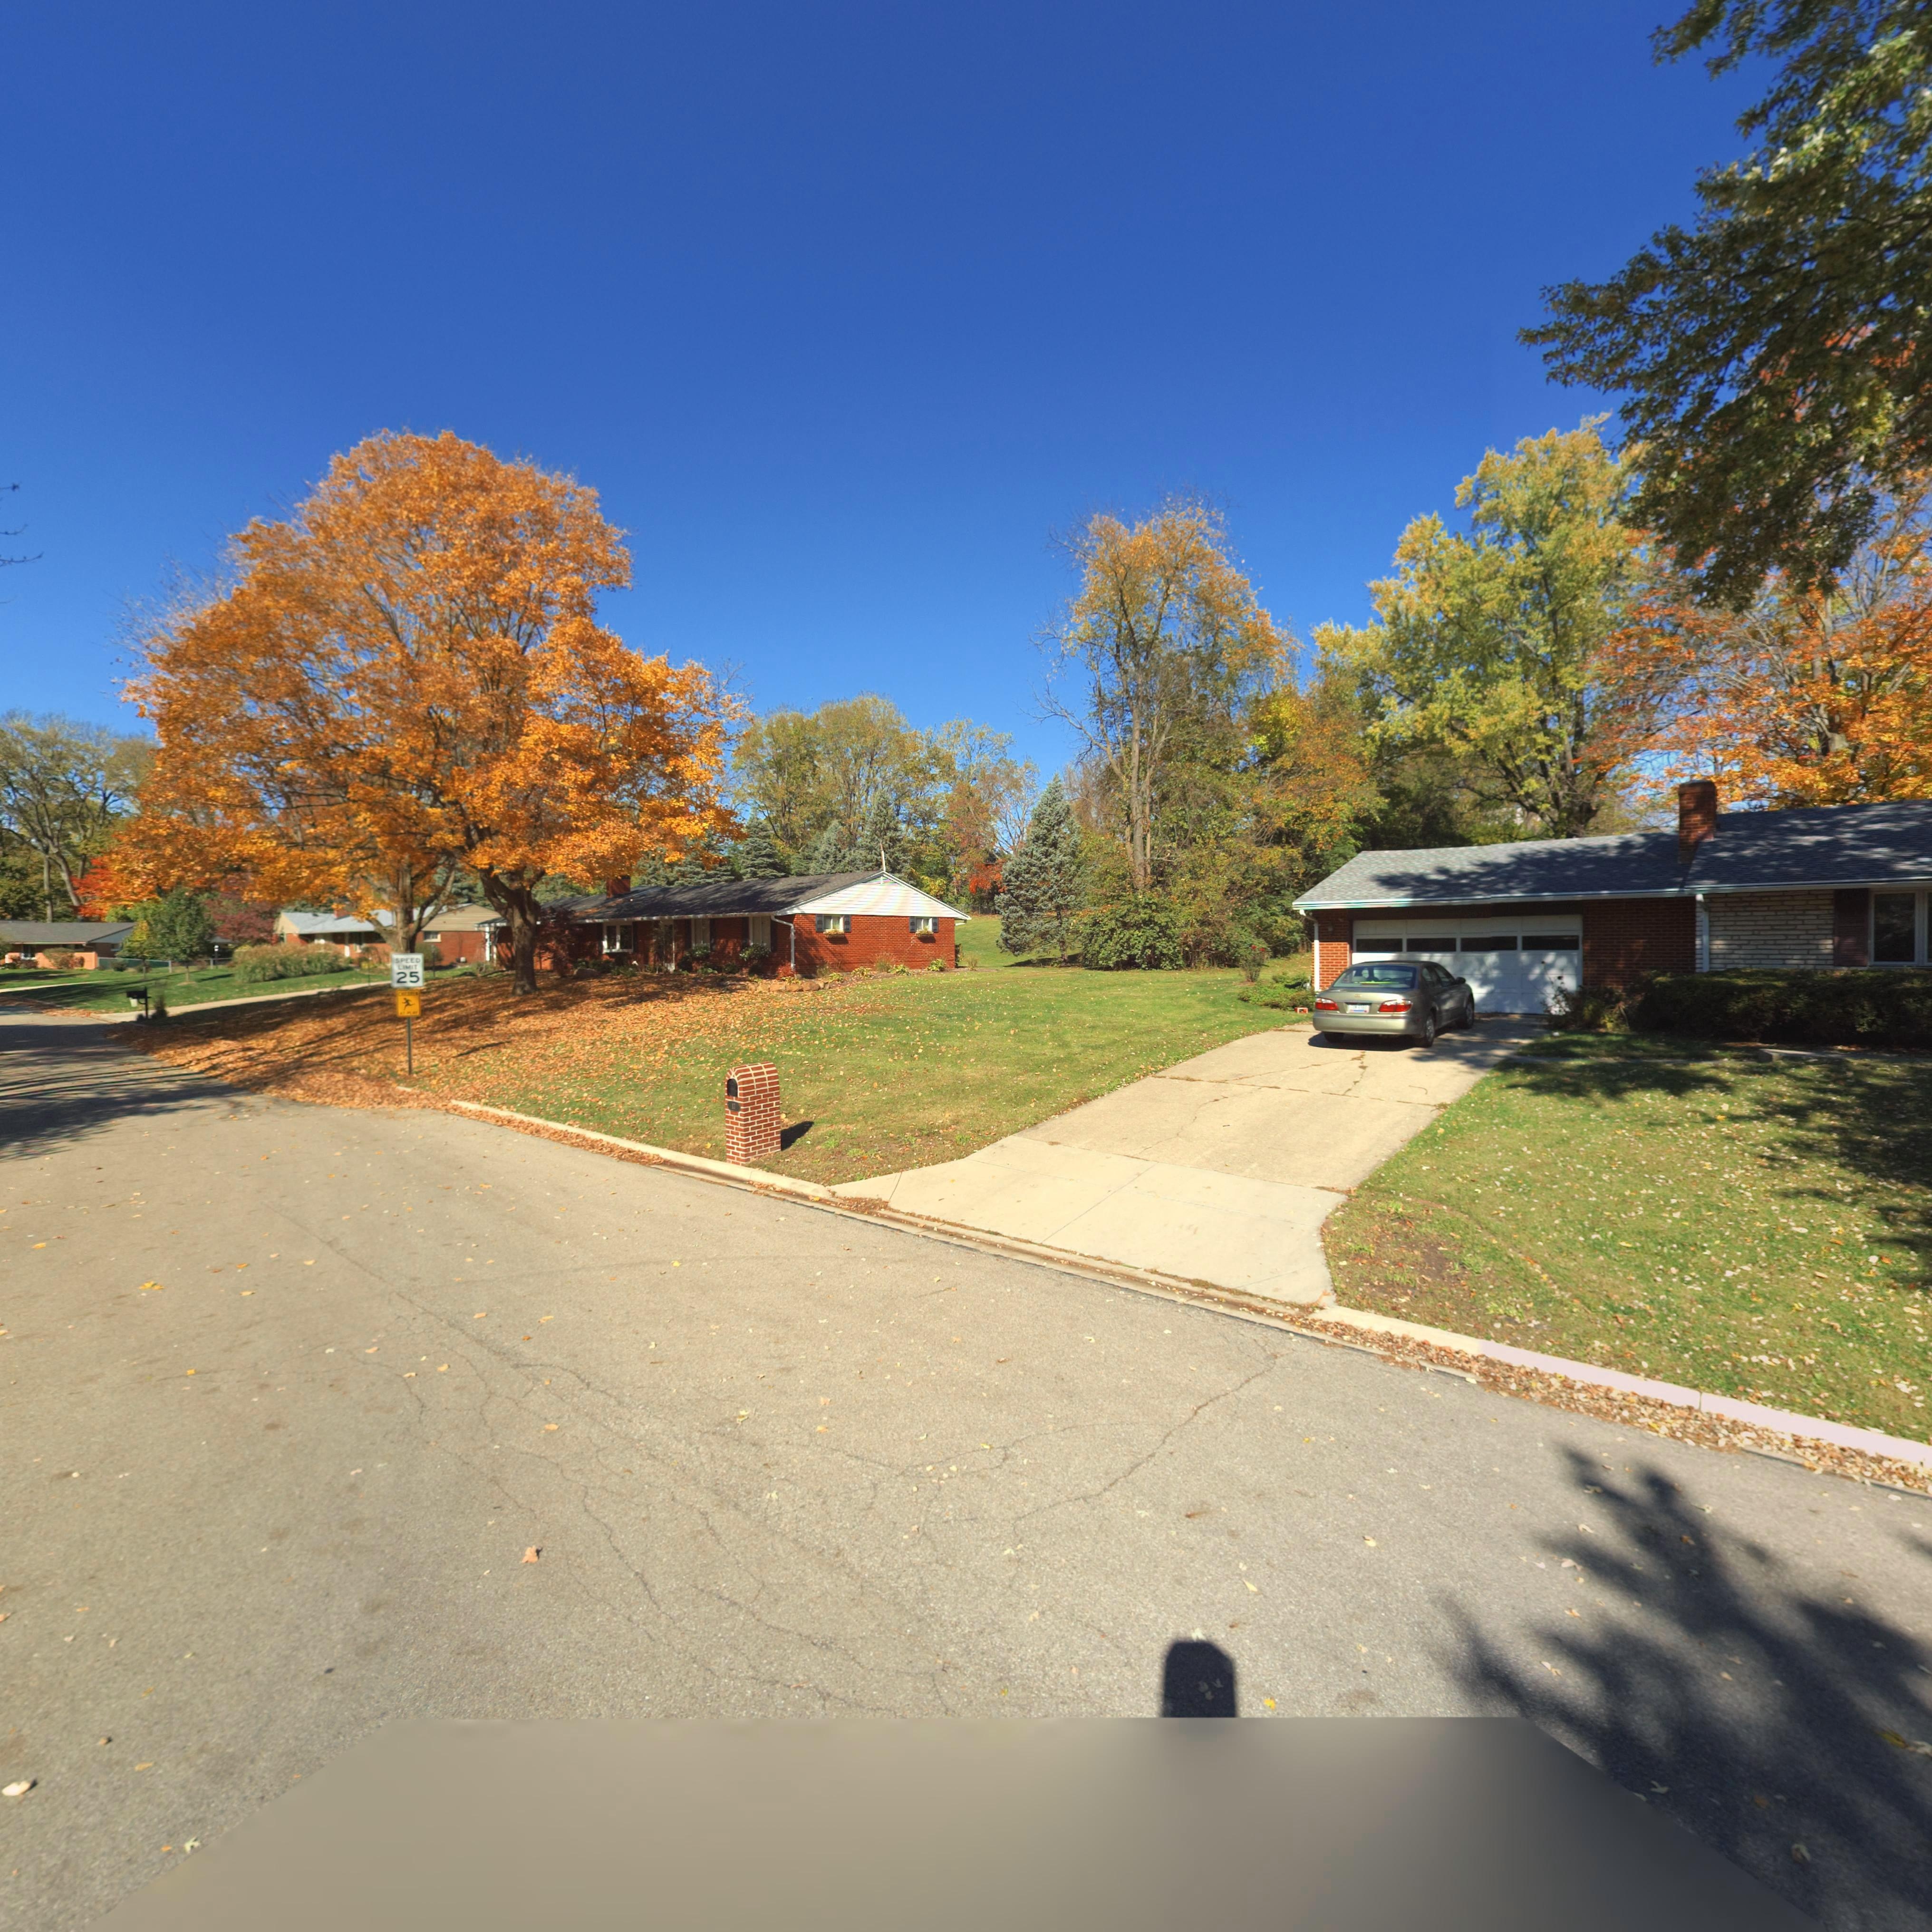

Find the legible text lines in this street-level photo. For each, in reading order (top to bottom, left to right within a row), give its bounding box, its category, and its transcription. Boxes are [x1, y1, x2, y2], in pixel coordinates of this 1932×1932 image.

[394, 957, 421, 964] None: SPEED
[396, 964, 419, 971] None: LIMIT
[396, 971, 420, 984] None: 25
[397, 990, 419, 997] None: CHILDREN
[731, 1103, 736, 1110] StreetNumber: 17